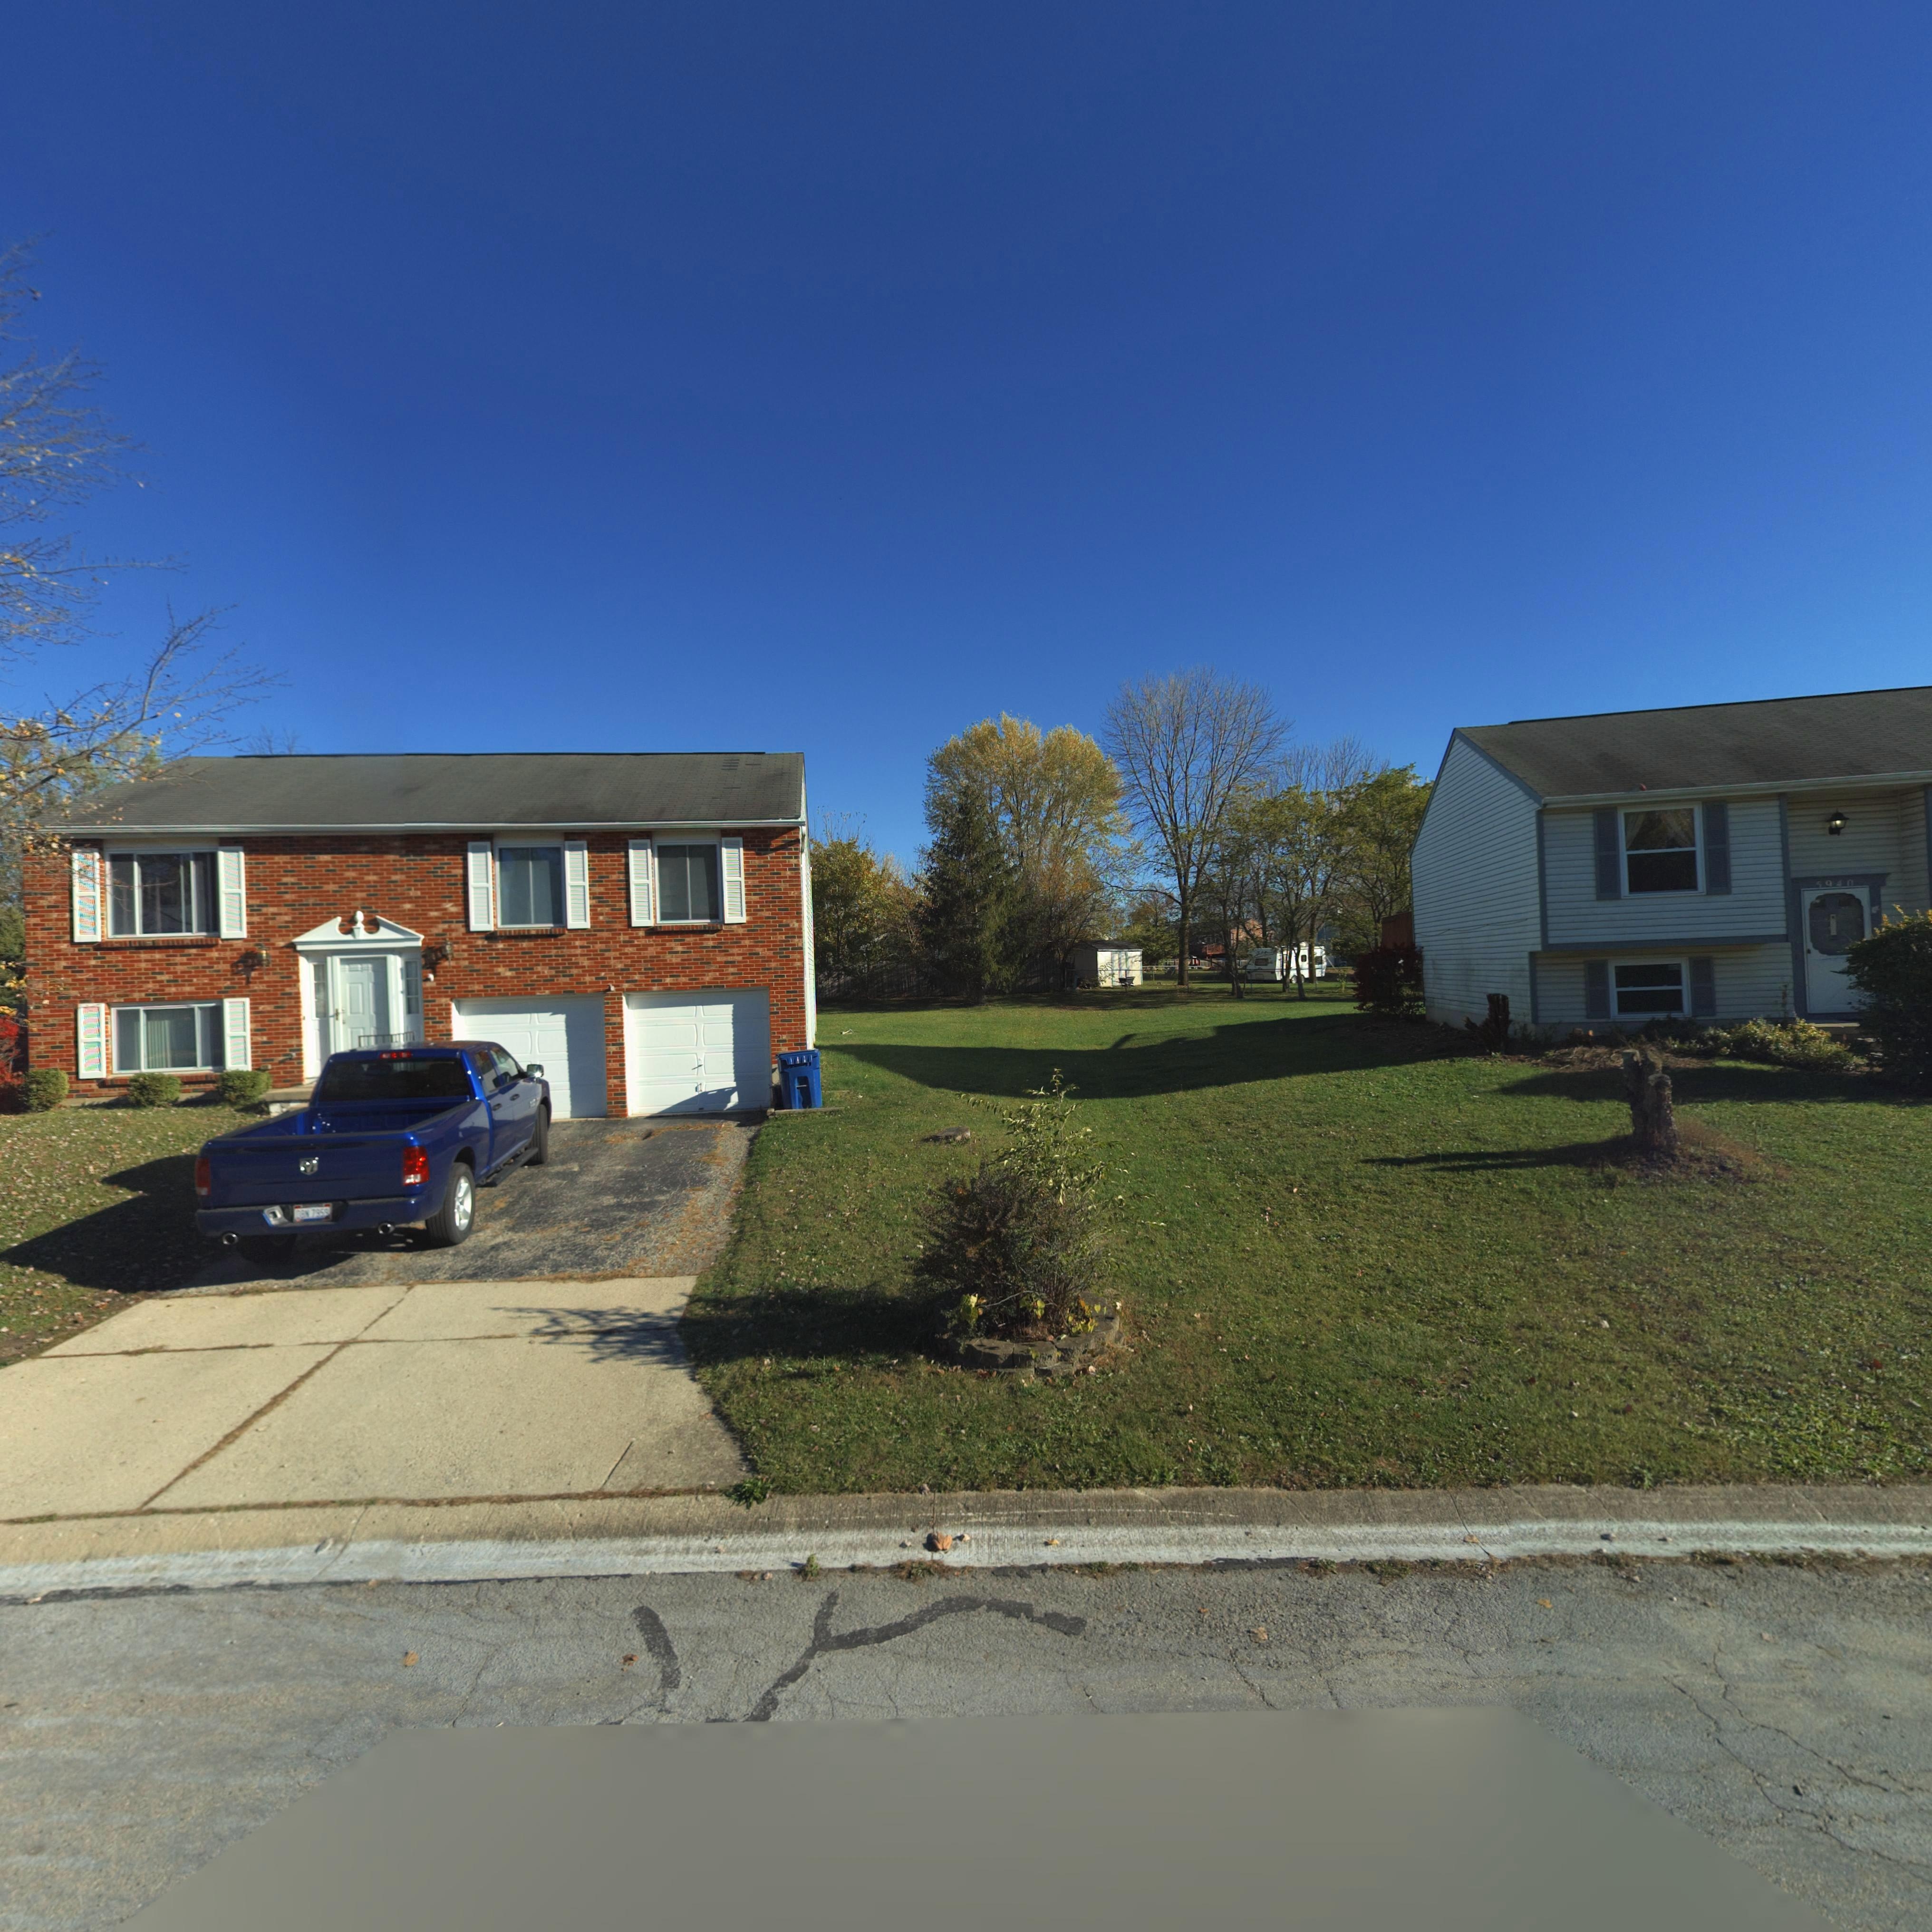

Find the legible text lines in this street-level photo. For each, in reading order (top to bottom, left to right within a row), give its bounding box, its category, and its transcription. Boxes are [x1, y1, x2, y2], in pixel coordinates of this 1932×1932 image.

[1815, 878, 1855, 891] StreetNumber: 5940